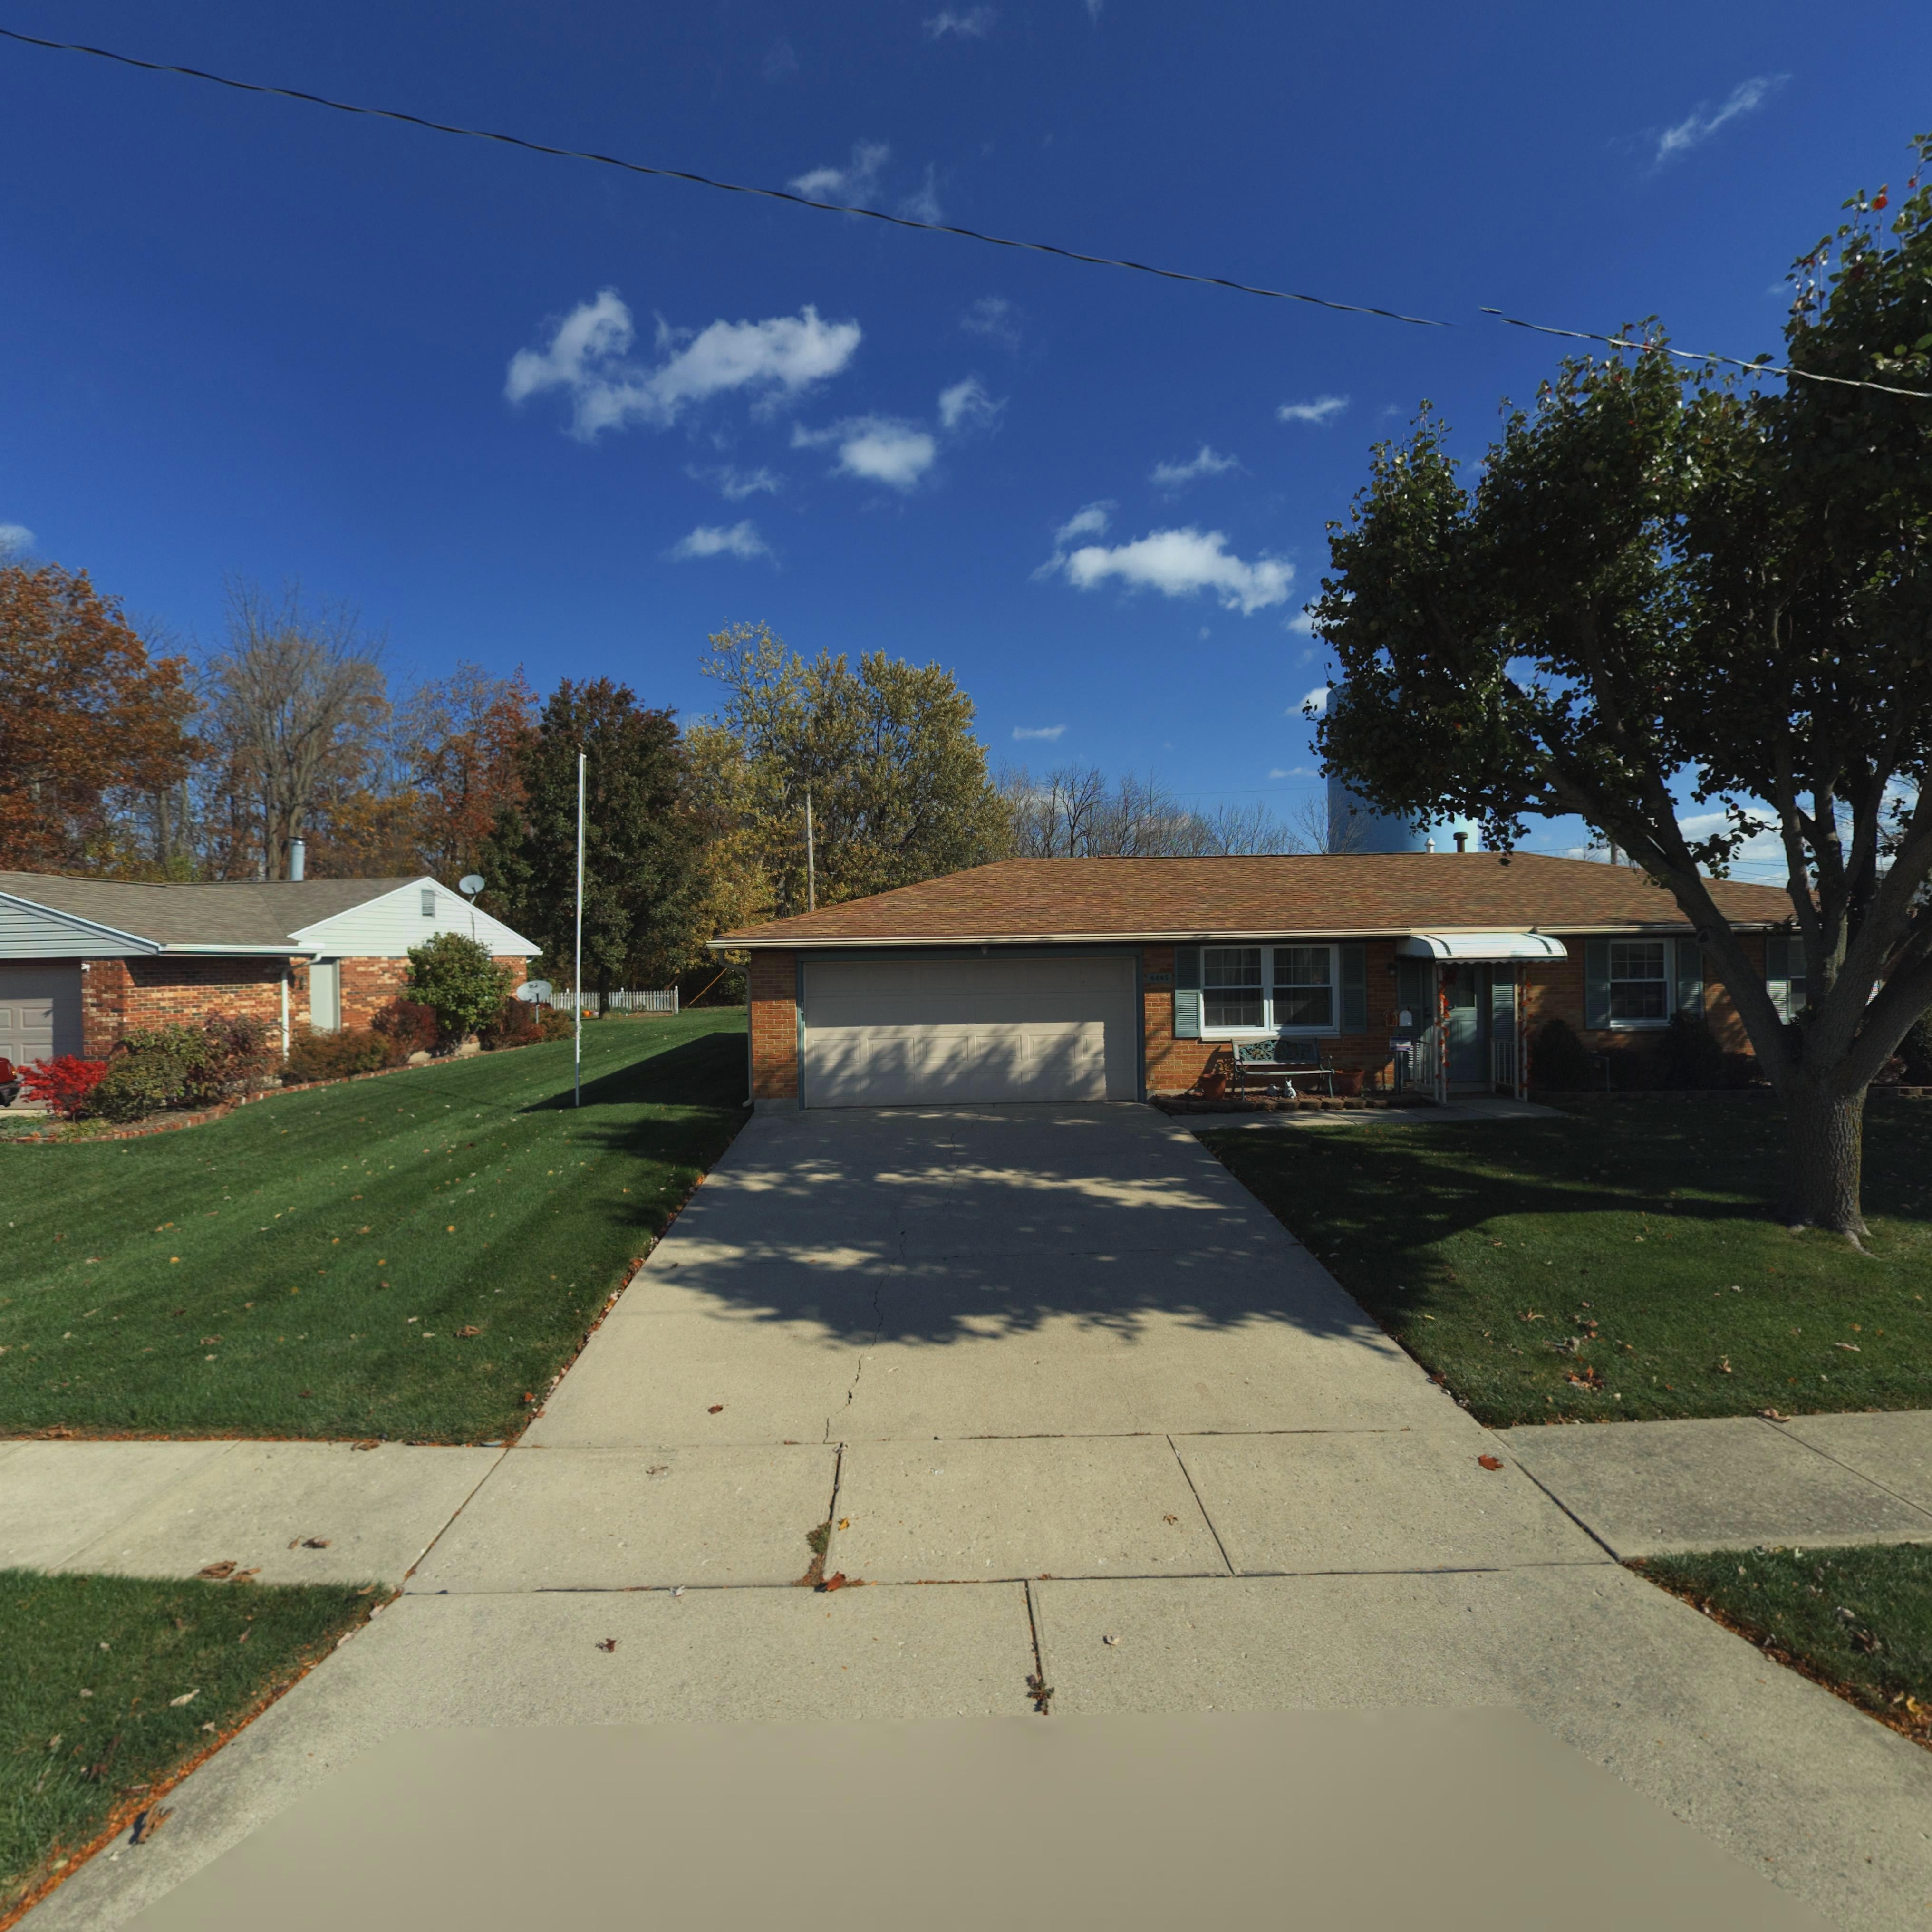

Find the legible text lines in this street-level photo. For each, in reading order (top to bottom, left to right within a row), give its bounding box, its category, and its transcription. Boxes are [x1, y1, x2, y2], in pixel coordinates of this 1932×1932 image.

[1150, 974, 1169, 981] StreetNumber: 6445